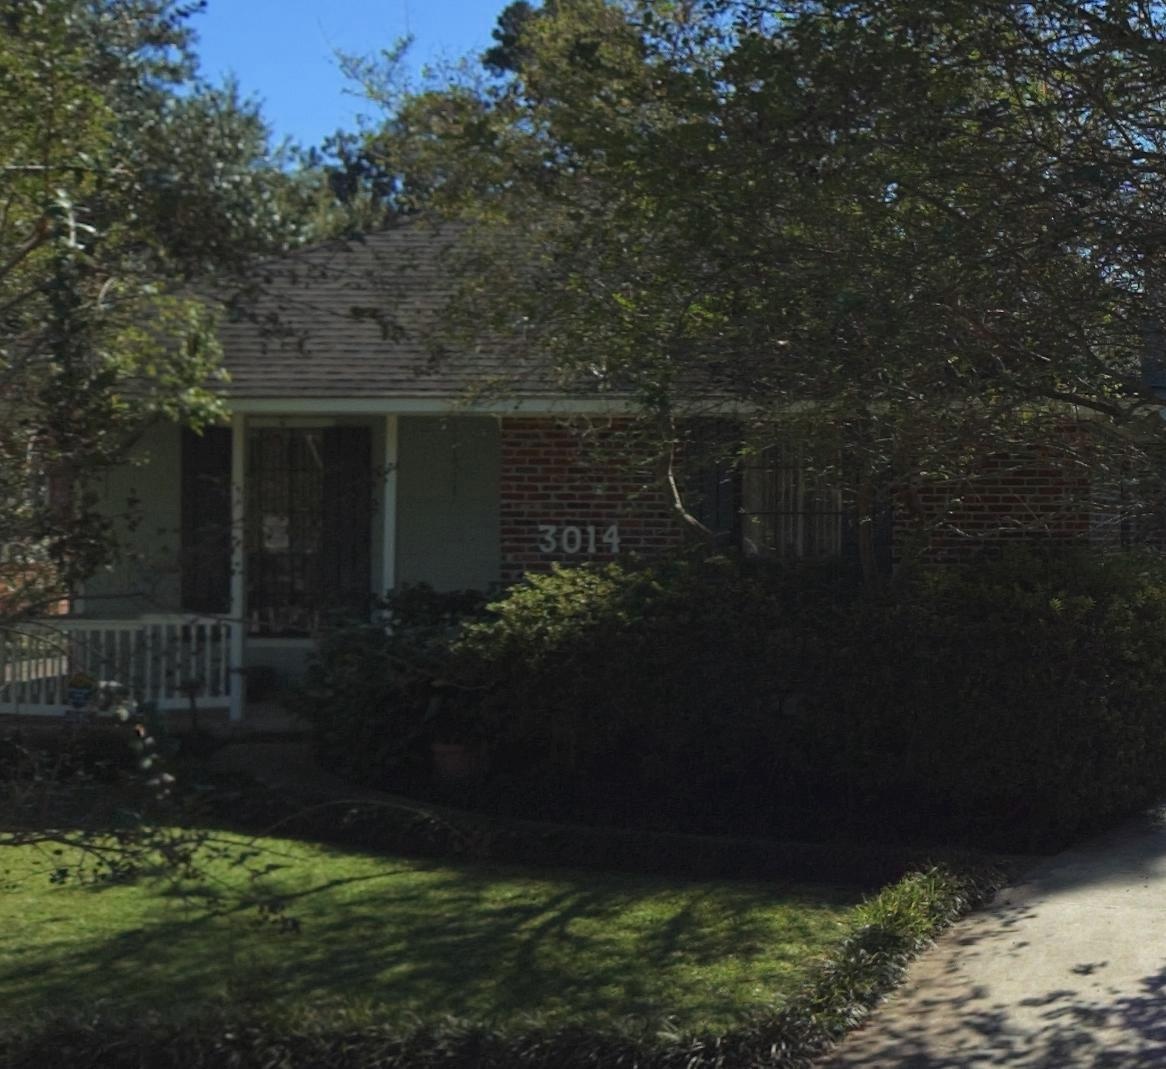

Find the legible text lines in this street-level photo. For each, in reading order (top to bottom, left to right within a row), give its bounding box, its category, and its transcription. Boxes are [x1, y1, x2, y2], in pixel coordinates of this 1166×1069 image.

[537, 522, 624, 555] StreetNumber: 3014